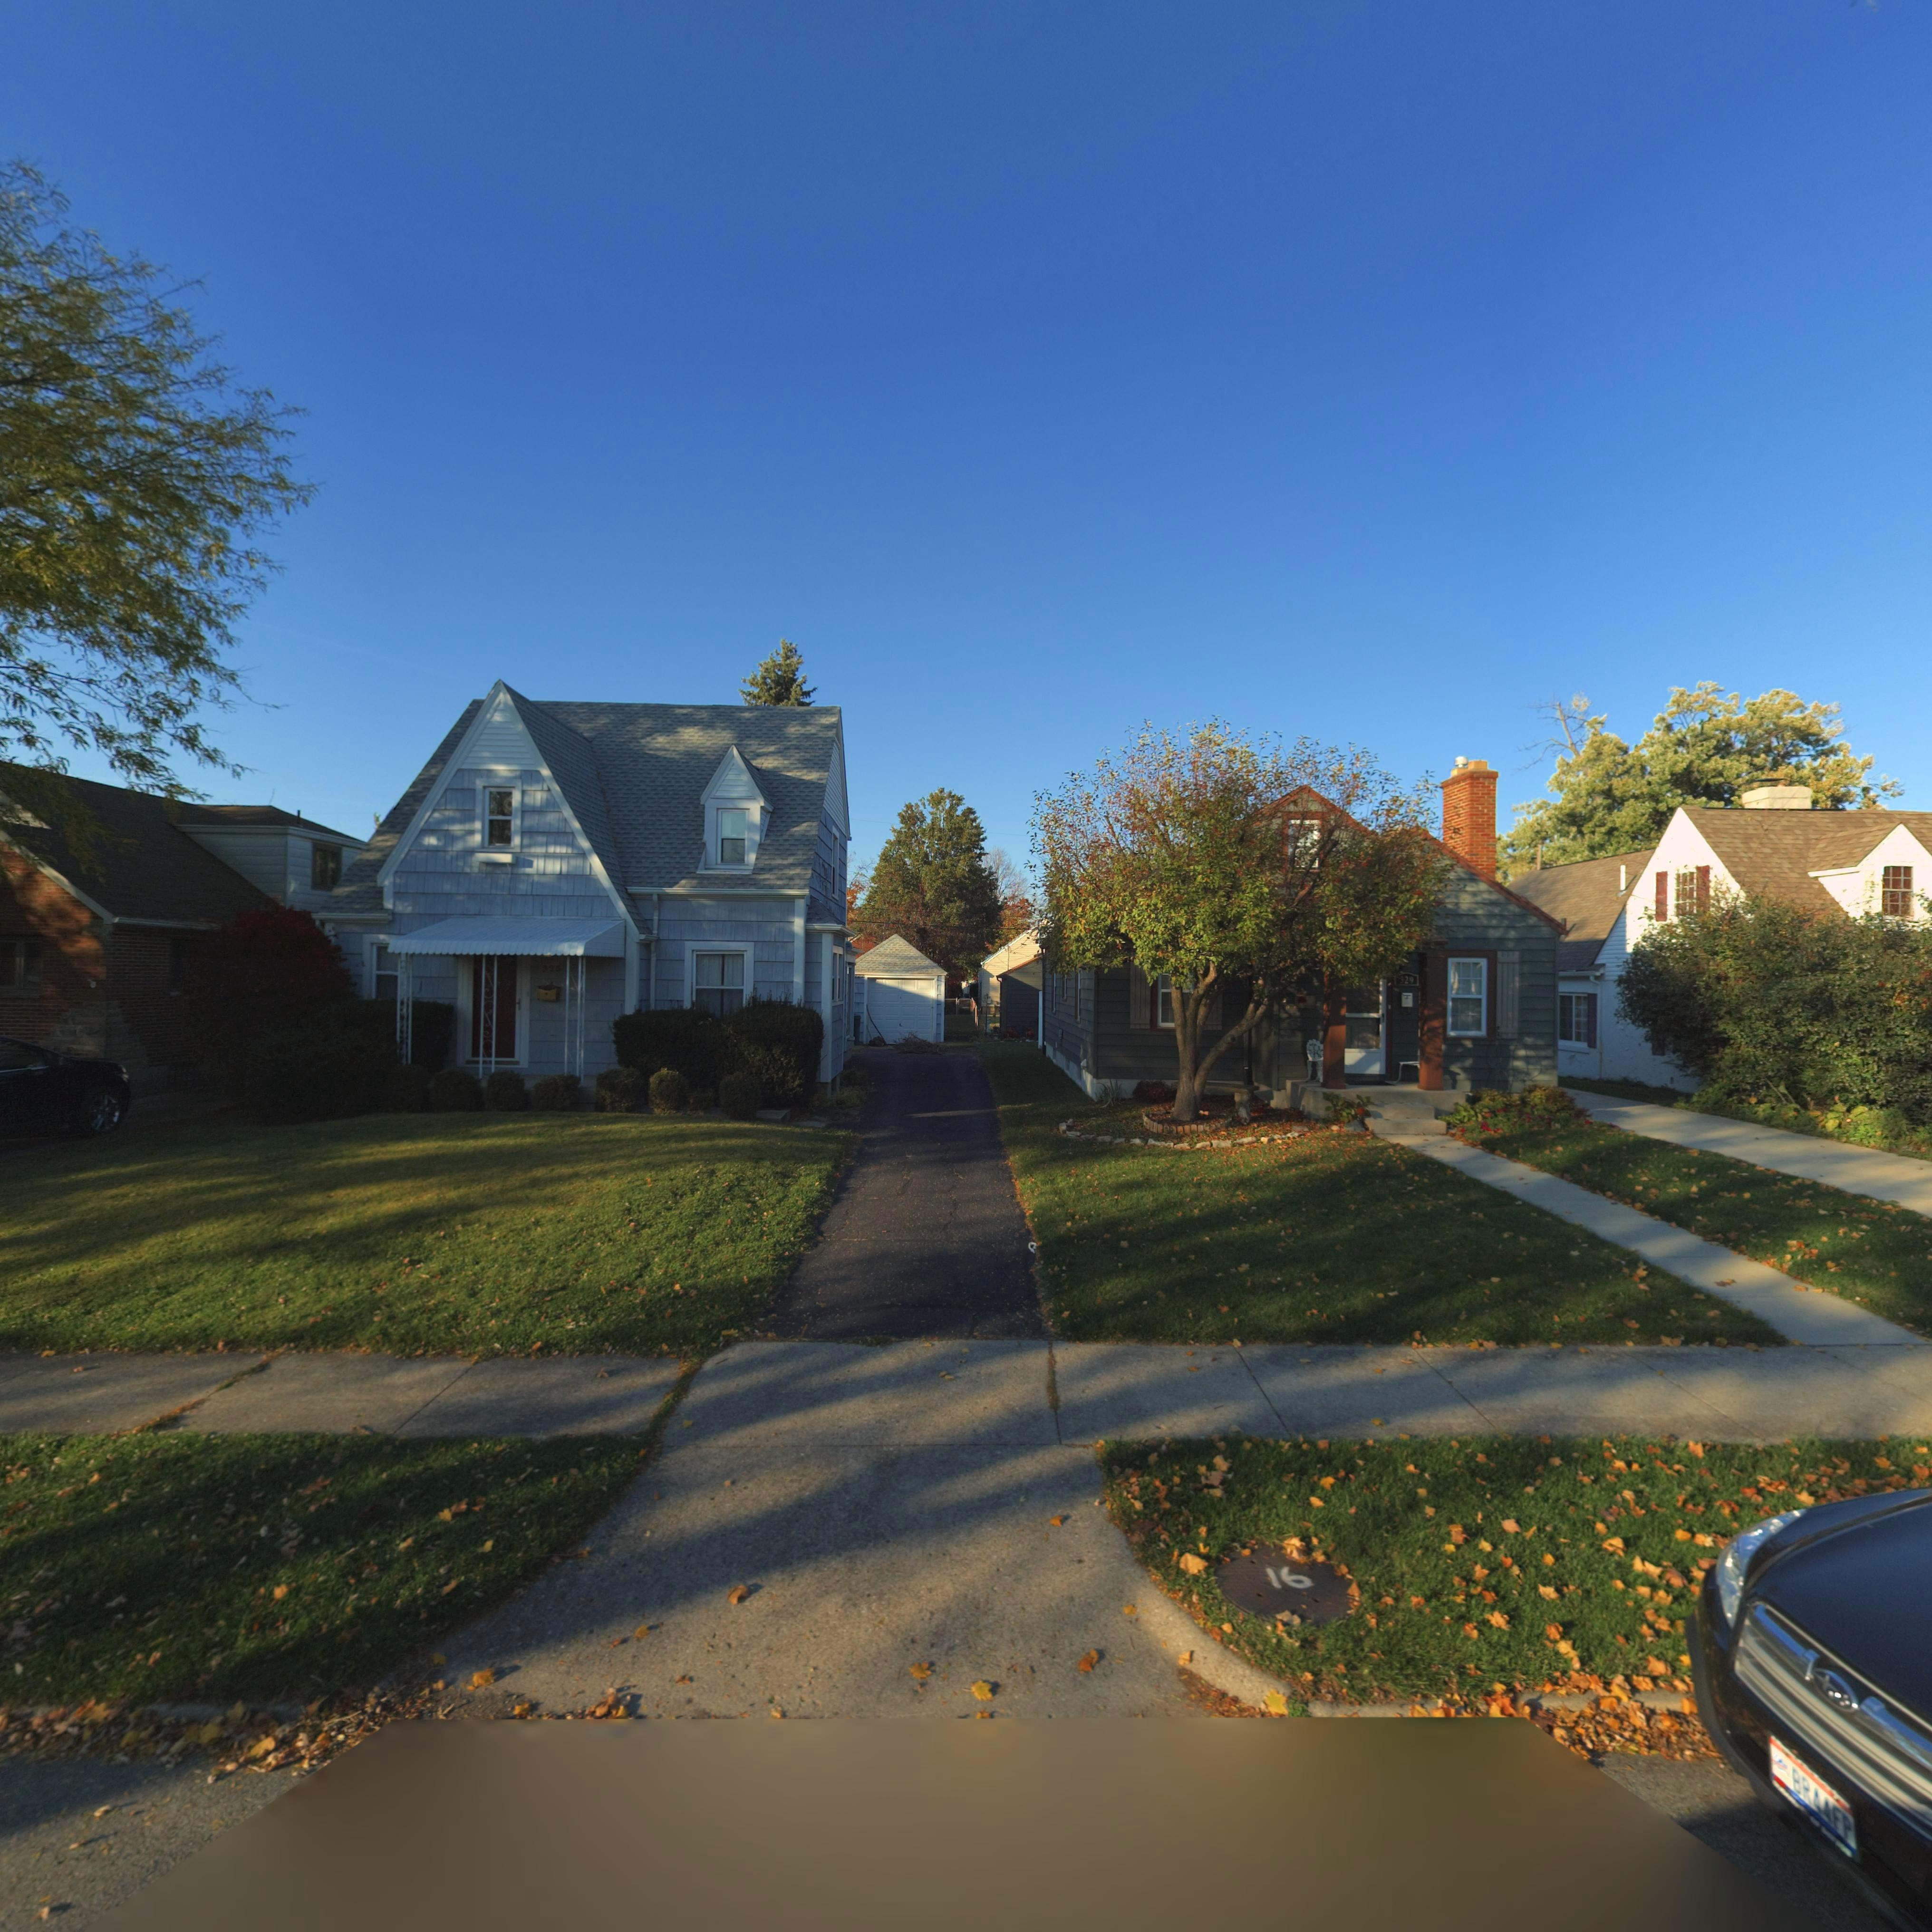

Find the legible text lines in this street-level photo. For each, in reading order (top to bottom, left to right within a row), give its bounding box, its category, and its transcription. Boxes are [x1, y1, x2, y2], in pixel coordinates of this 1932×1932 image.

[541, 964, 561, 973] StreetNumber: 325
[1400, 976, 1414, 984] StreetNumber: 329